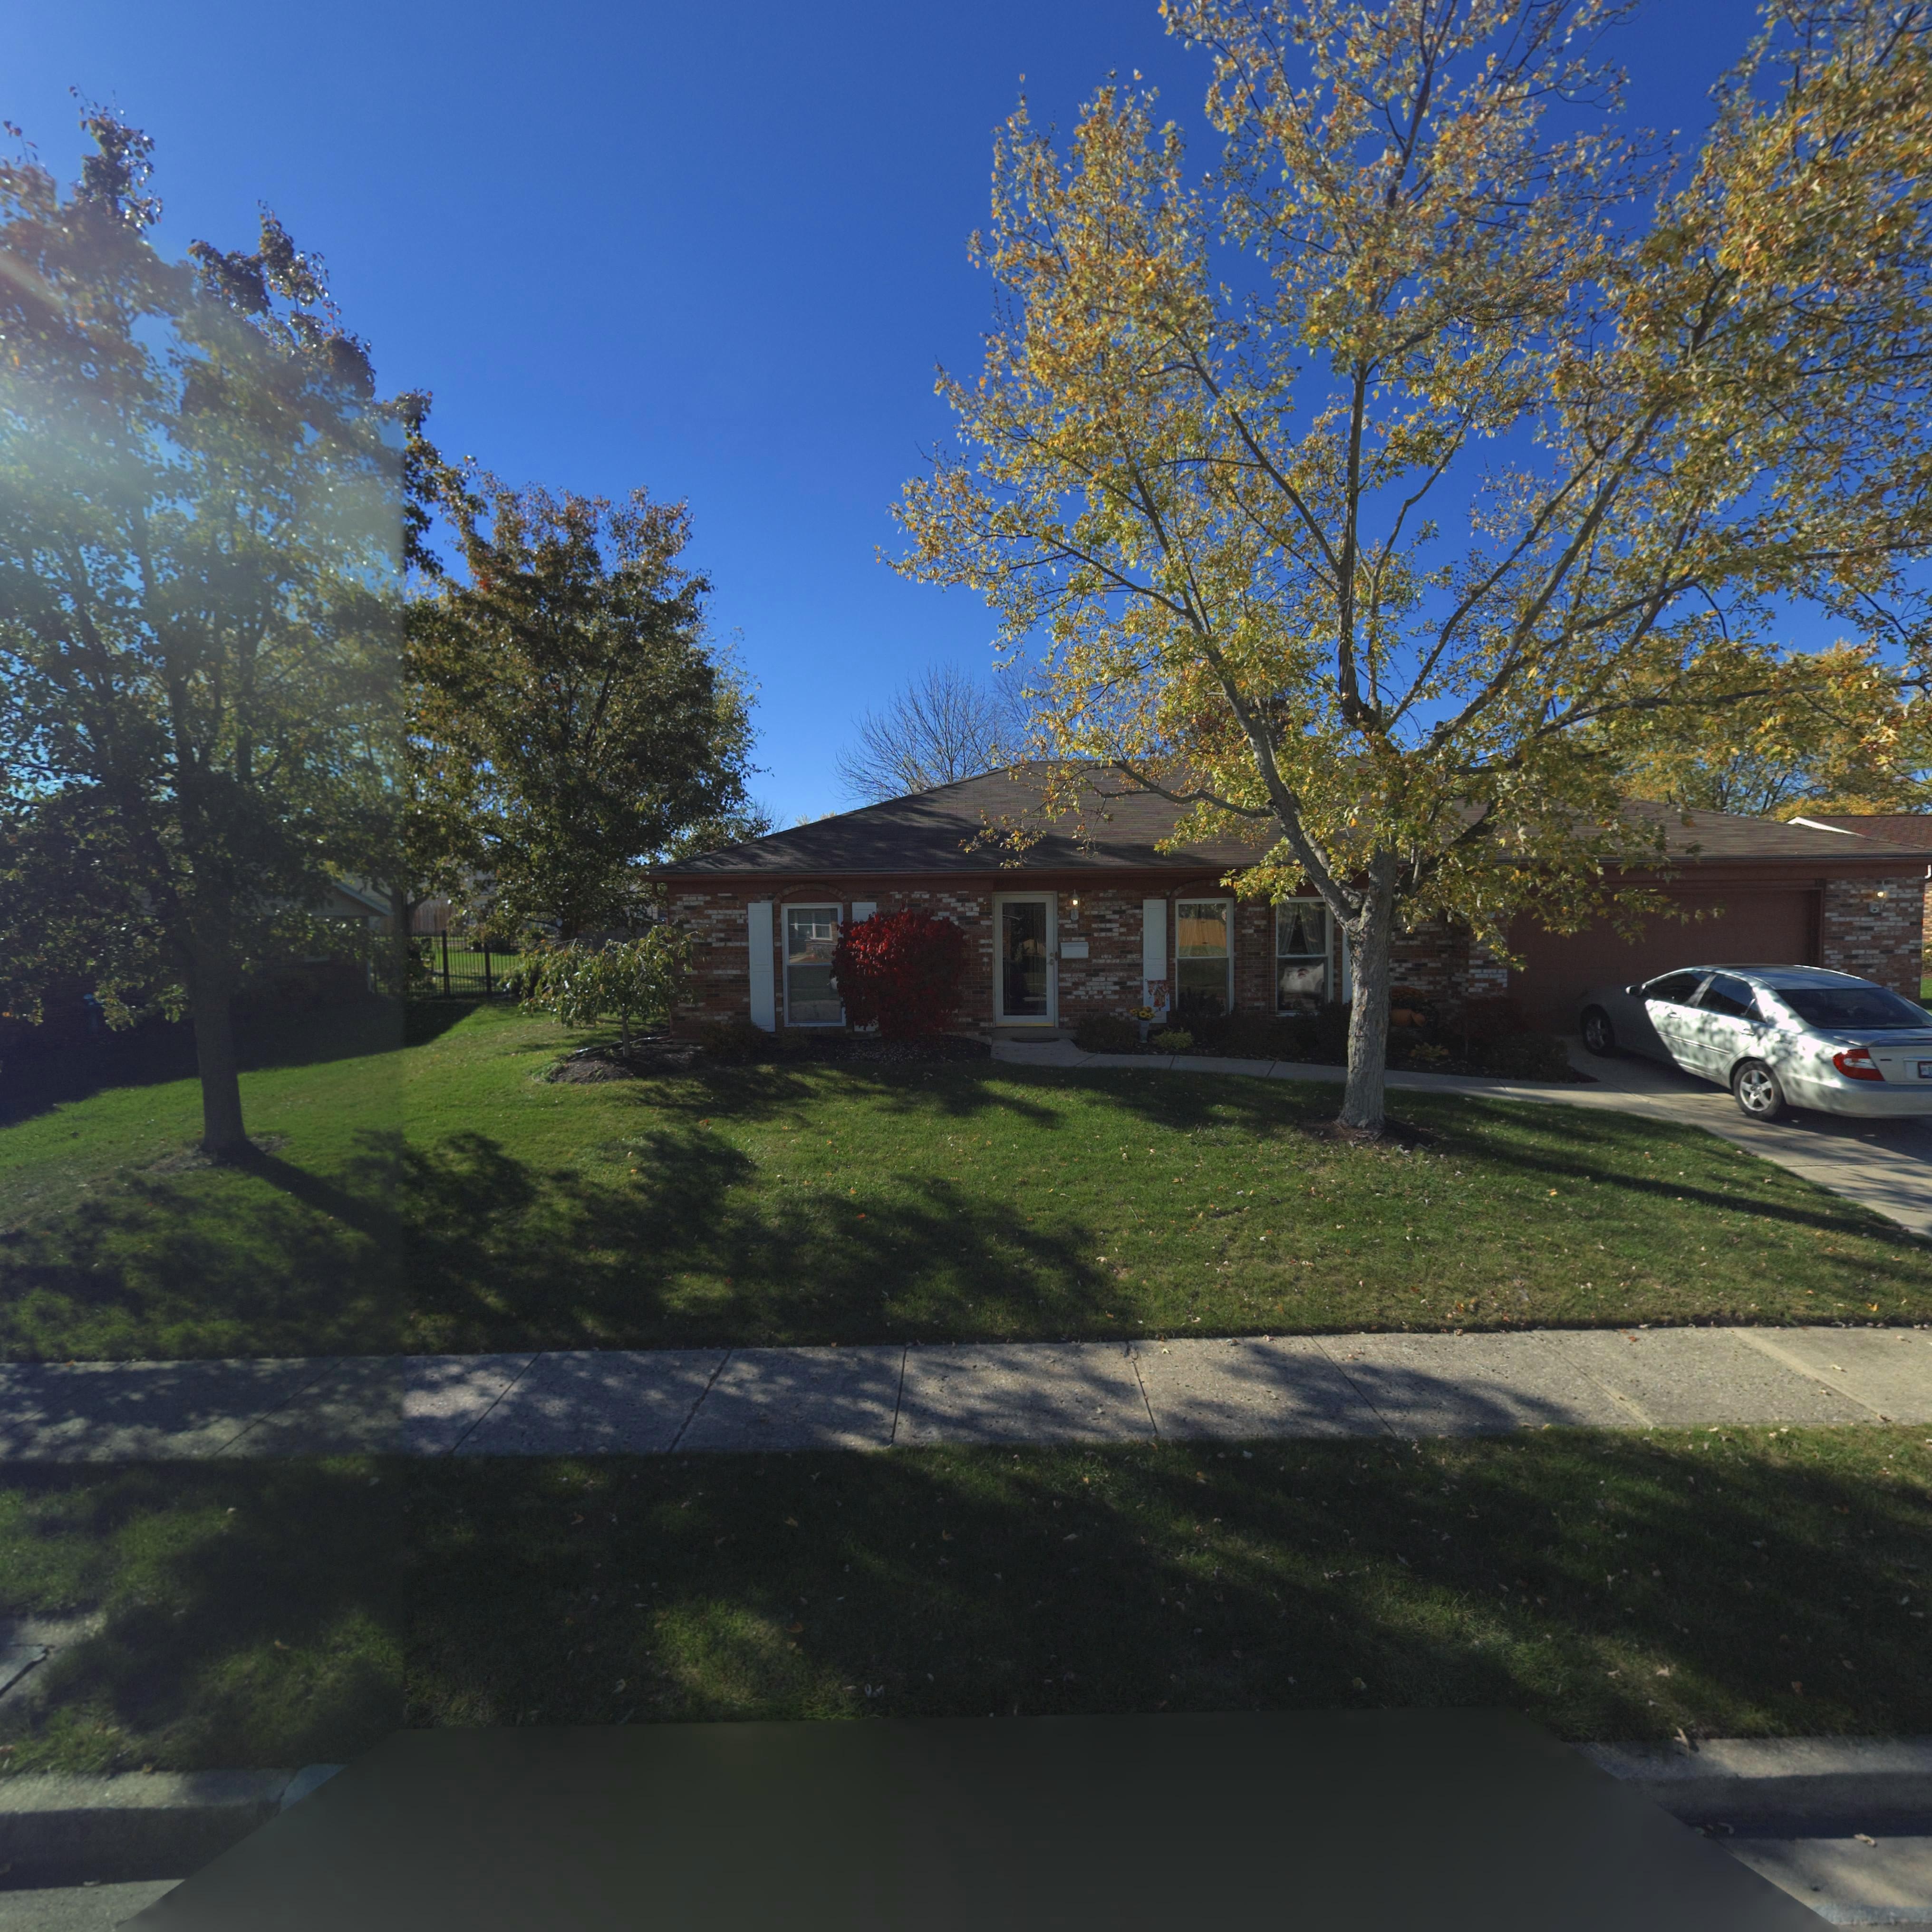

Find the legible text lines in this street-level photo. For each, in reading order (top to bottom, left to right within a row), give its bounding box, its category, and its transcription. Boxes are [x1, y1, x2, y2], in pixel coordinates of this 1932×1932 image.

[1655, 870, 1681, 880] StreetNumber: 43**